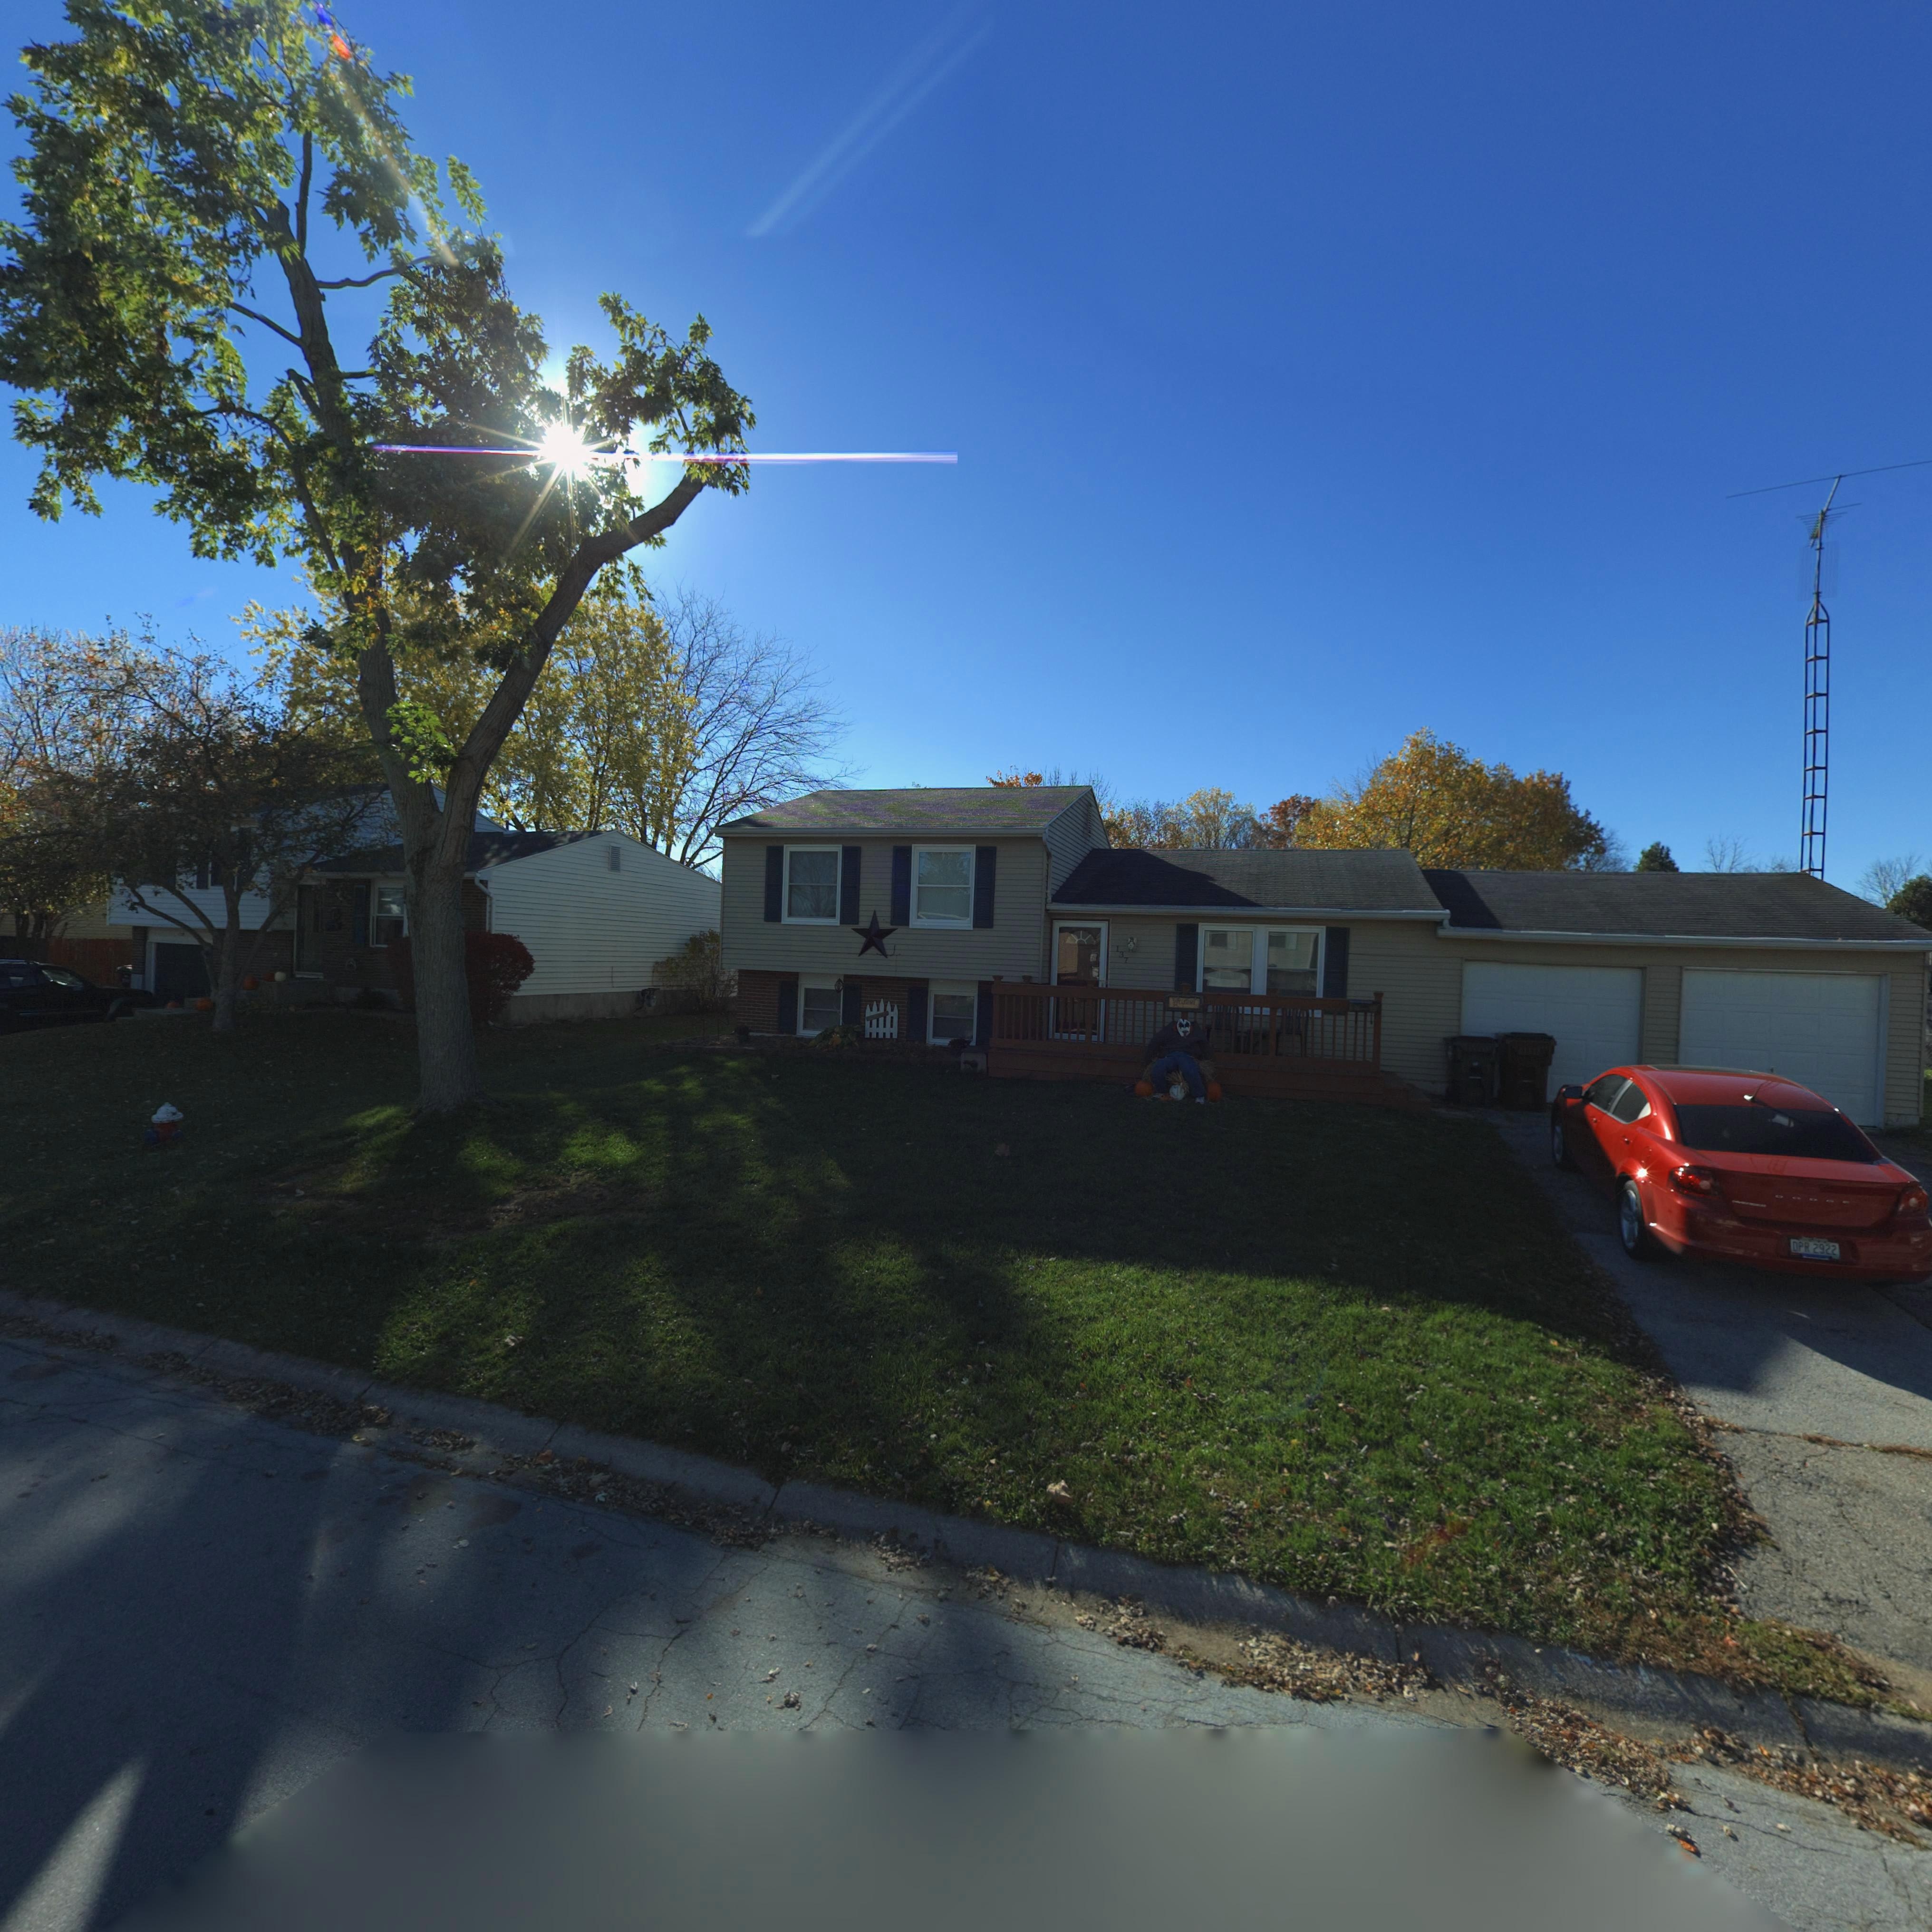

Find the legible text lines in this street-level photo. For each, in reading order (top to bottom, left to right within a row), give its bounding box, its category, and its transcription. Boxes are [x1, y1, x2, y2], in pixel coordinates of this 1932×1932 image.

[1115, 945, 1129, 964] StreetNumber: 137